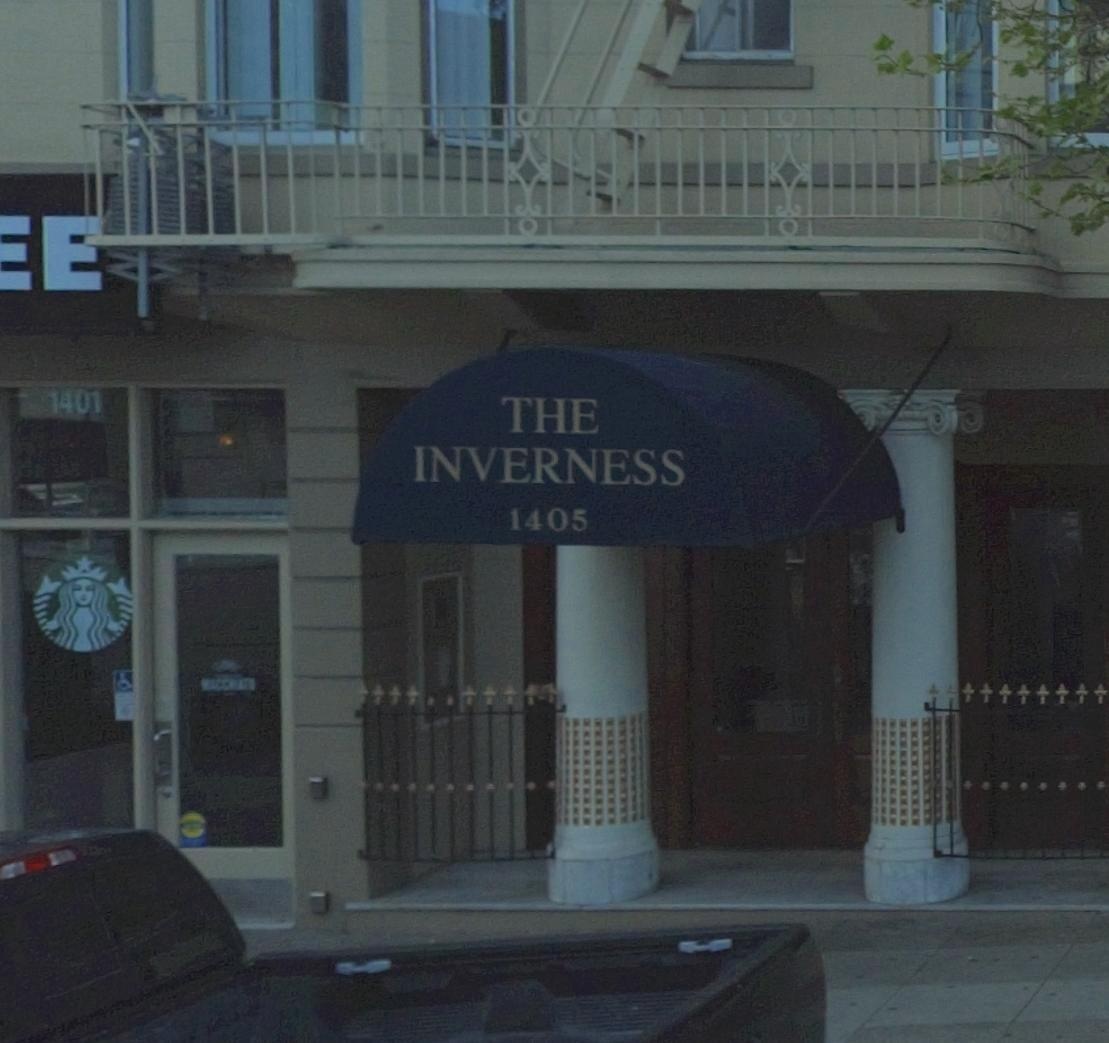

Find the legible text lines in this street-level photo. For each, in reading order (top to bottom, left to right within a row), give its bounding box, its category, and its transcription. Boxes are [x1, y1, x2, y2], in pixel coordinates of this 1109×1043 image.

[45, 384, 106, 419] StreetNumber: 1401
[495, 393, 603, 438] BusinessName: THE
[408, 441, 690, 490] BusinessName: INVERNESS
[506, 504, 591, 534] StreetNumber: 1405